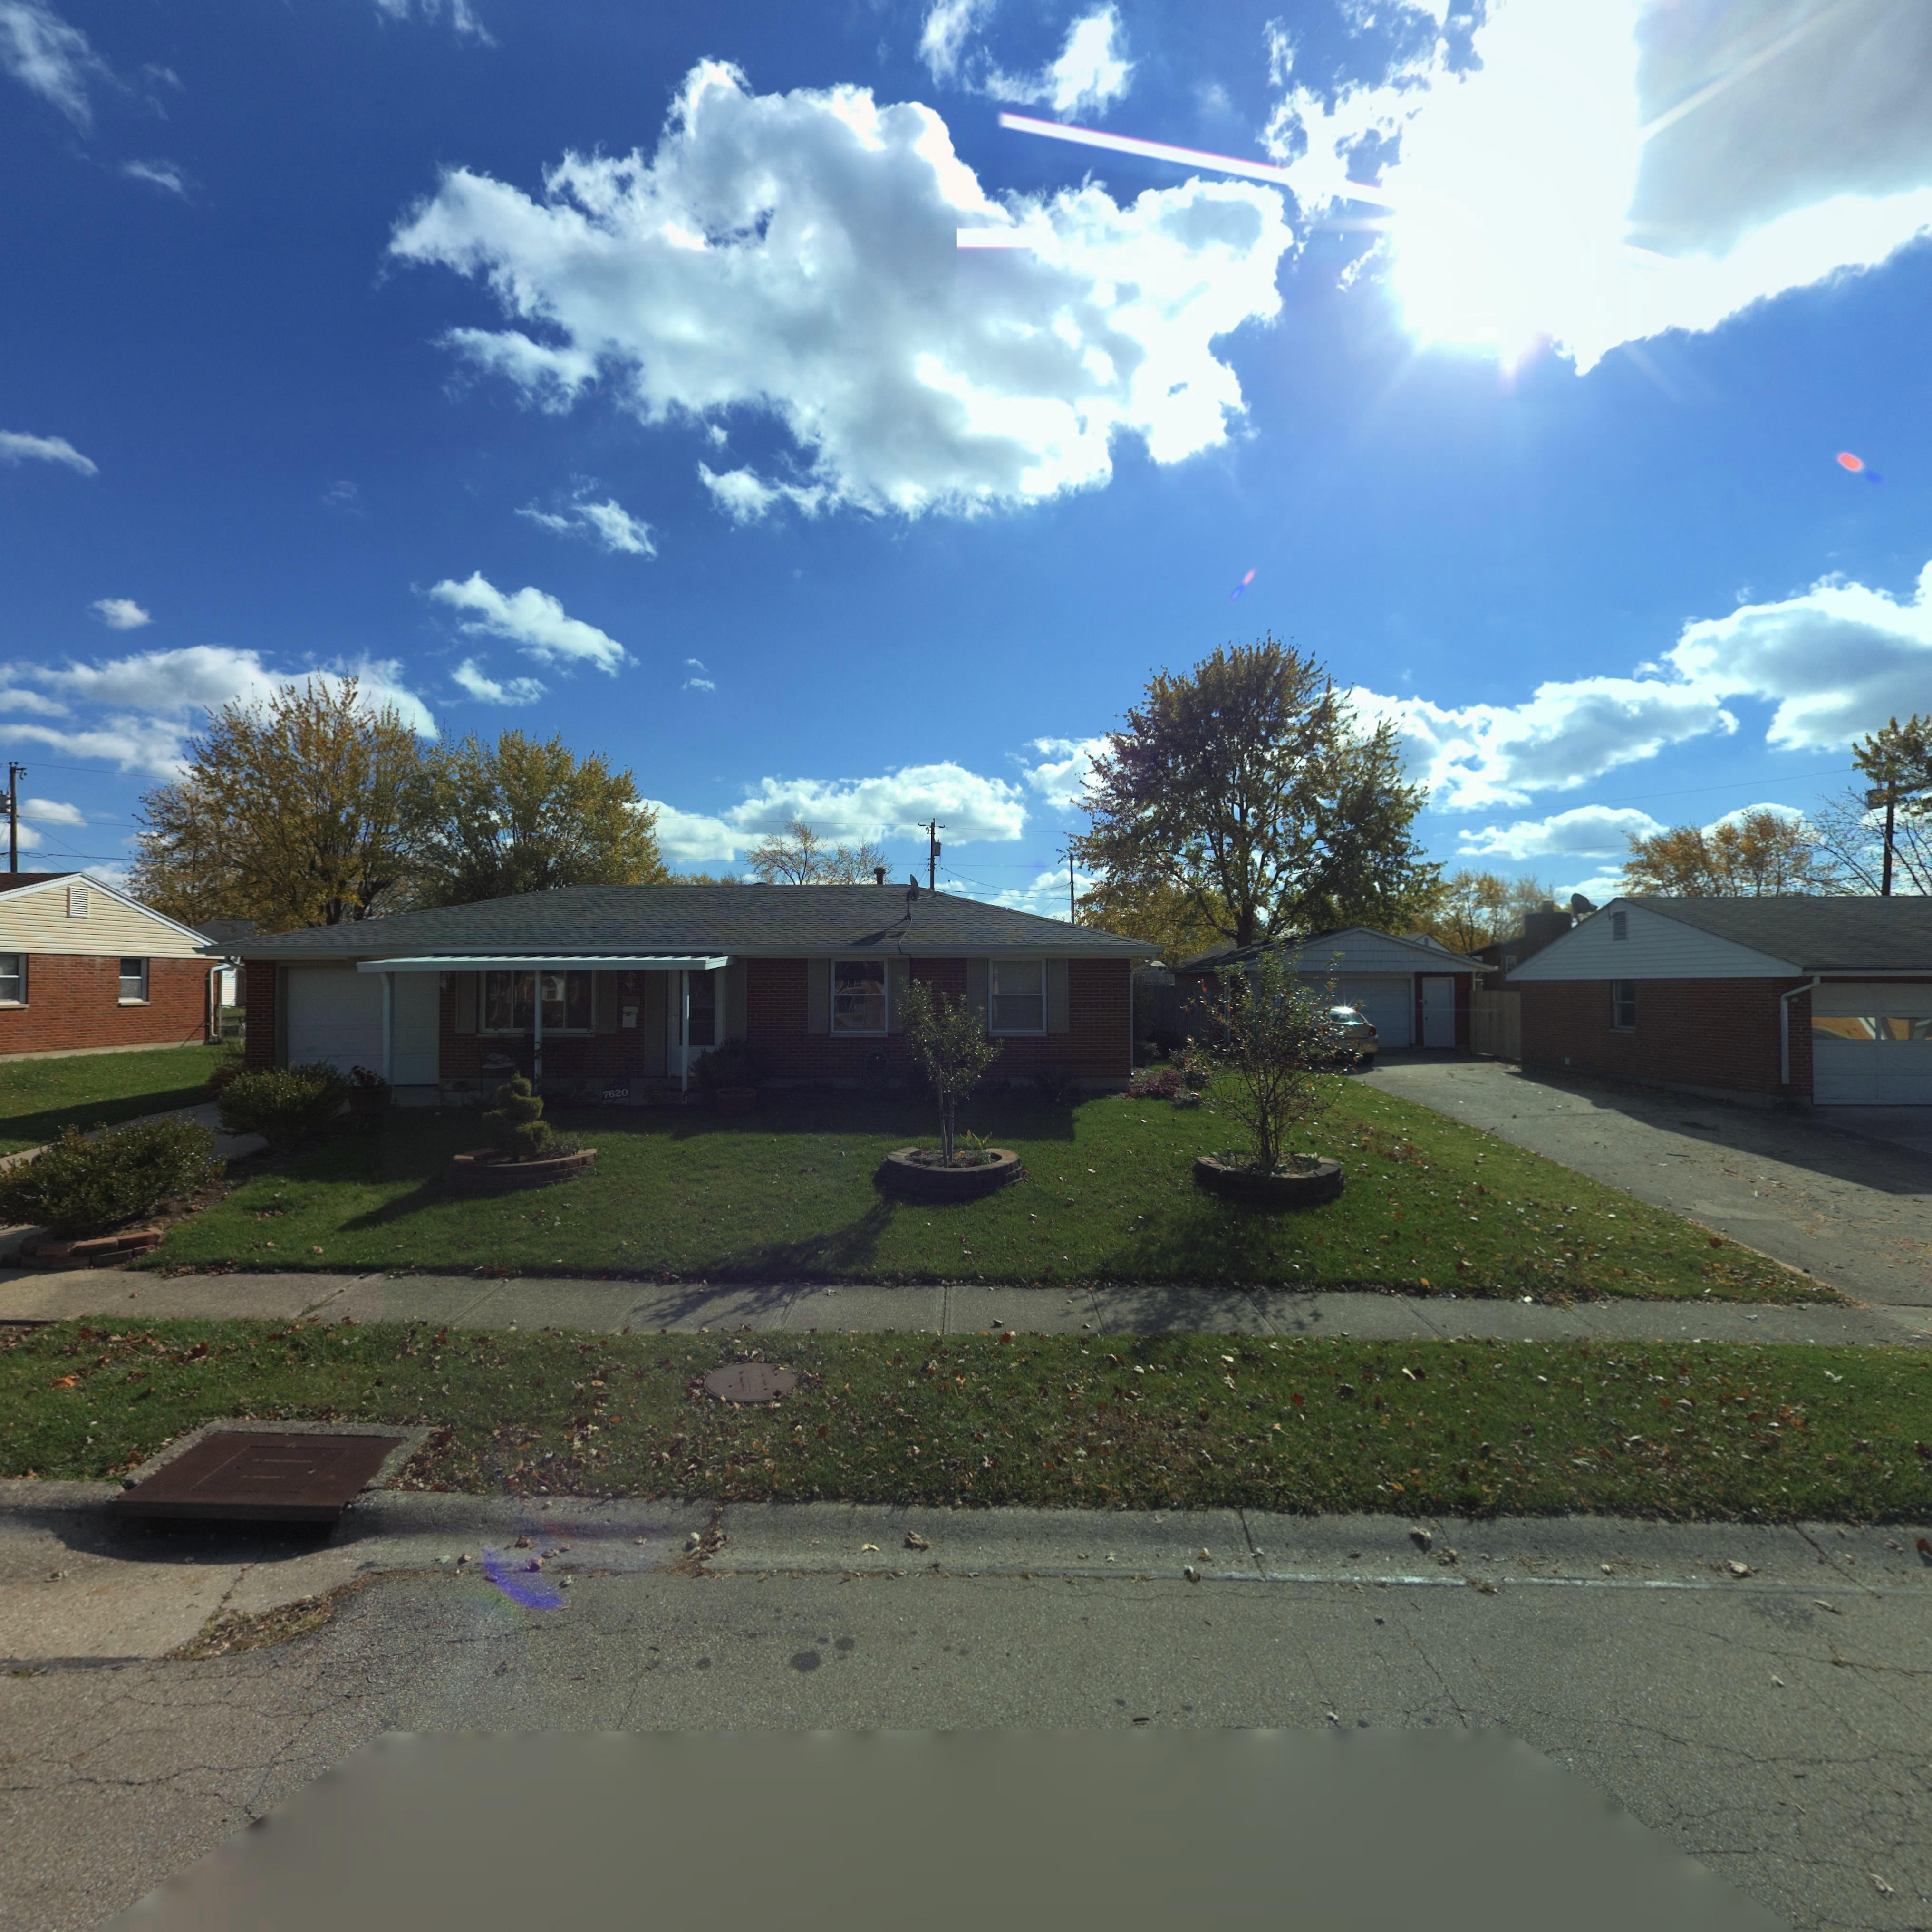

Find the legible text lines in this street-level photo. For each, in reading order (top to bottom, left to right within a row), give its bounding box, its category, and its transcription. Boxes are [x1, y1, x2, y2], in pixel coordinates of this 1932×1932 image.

[621, 996, 640, 1004] StreetNumber: 7***
[602, 1088, 628, 1099] StreetNumber: 7620